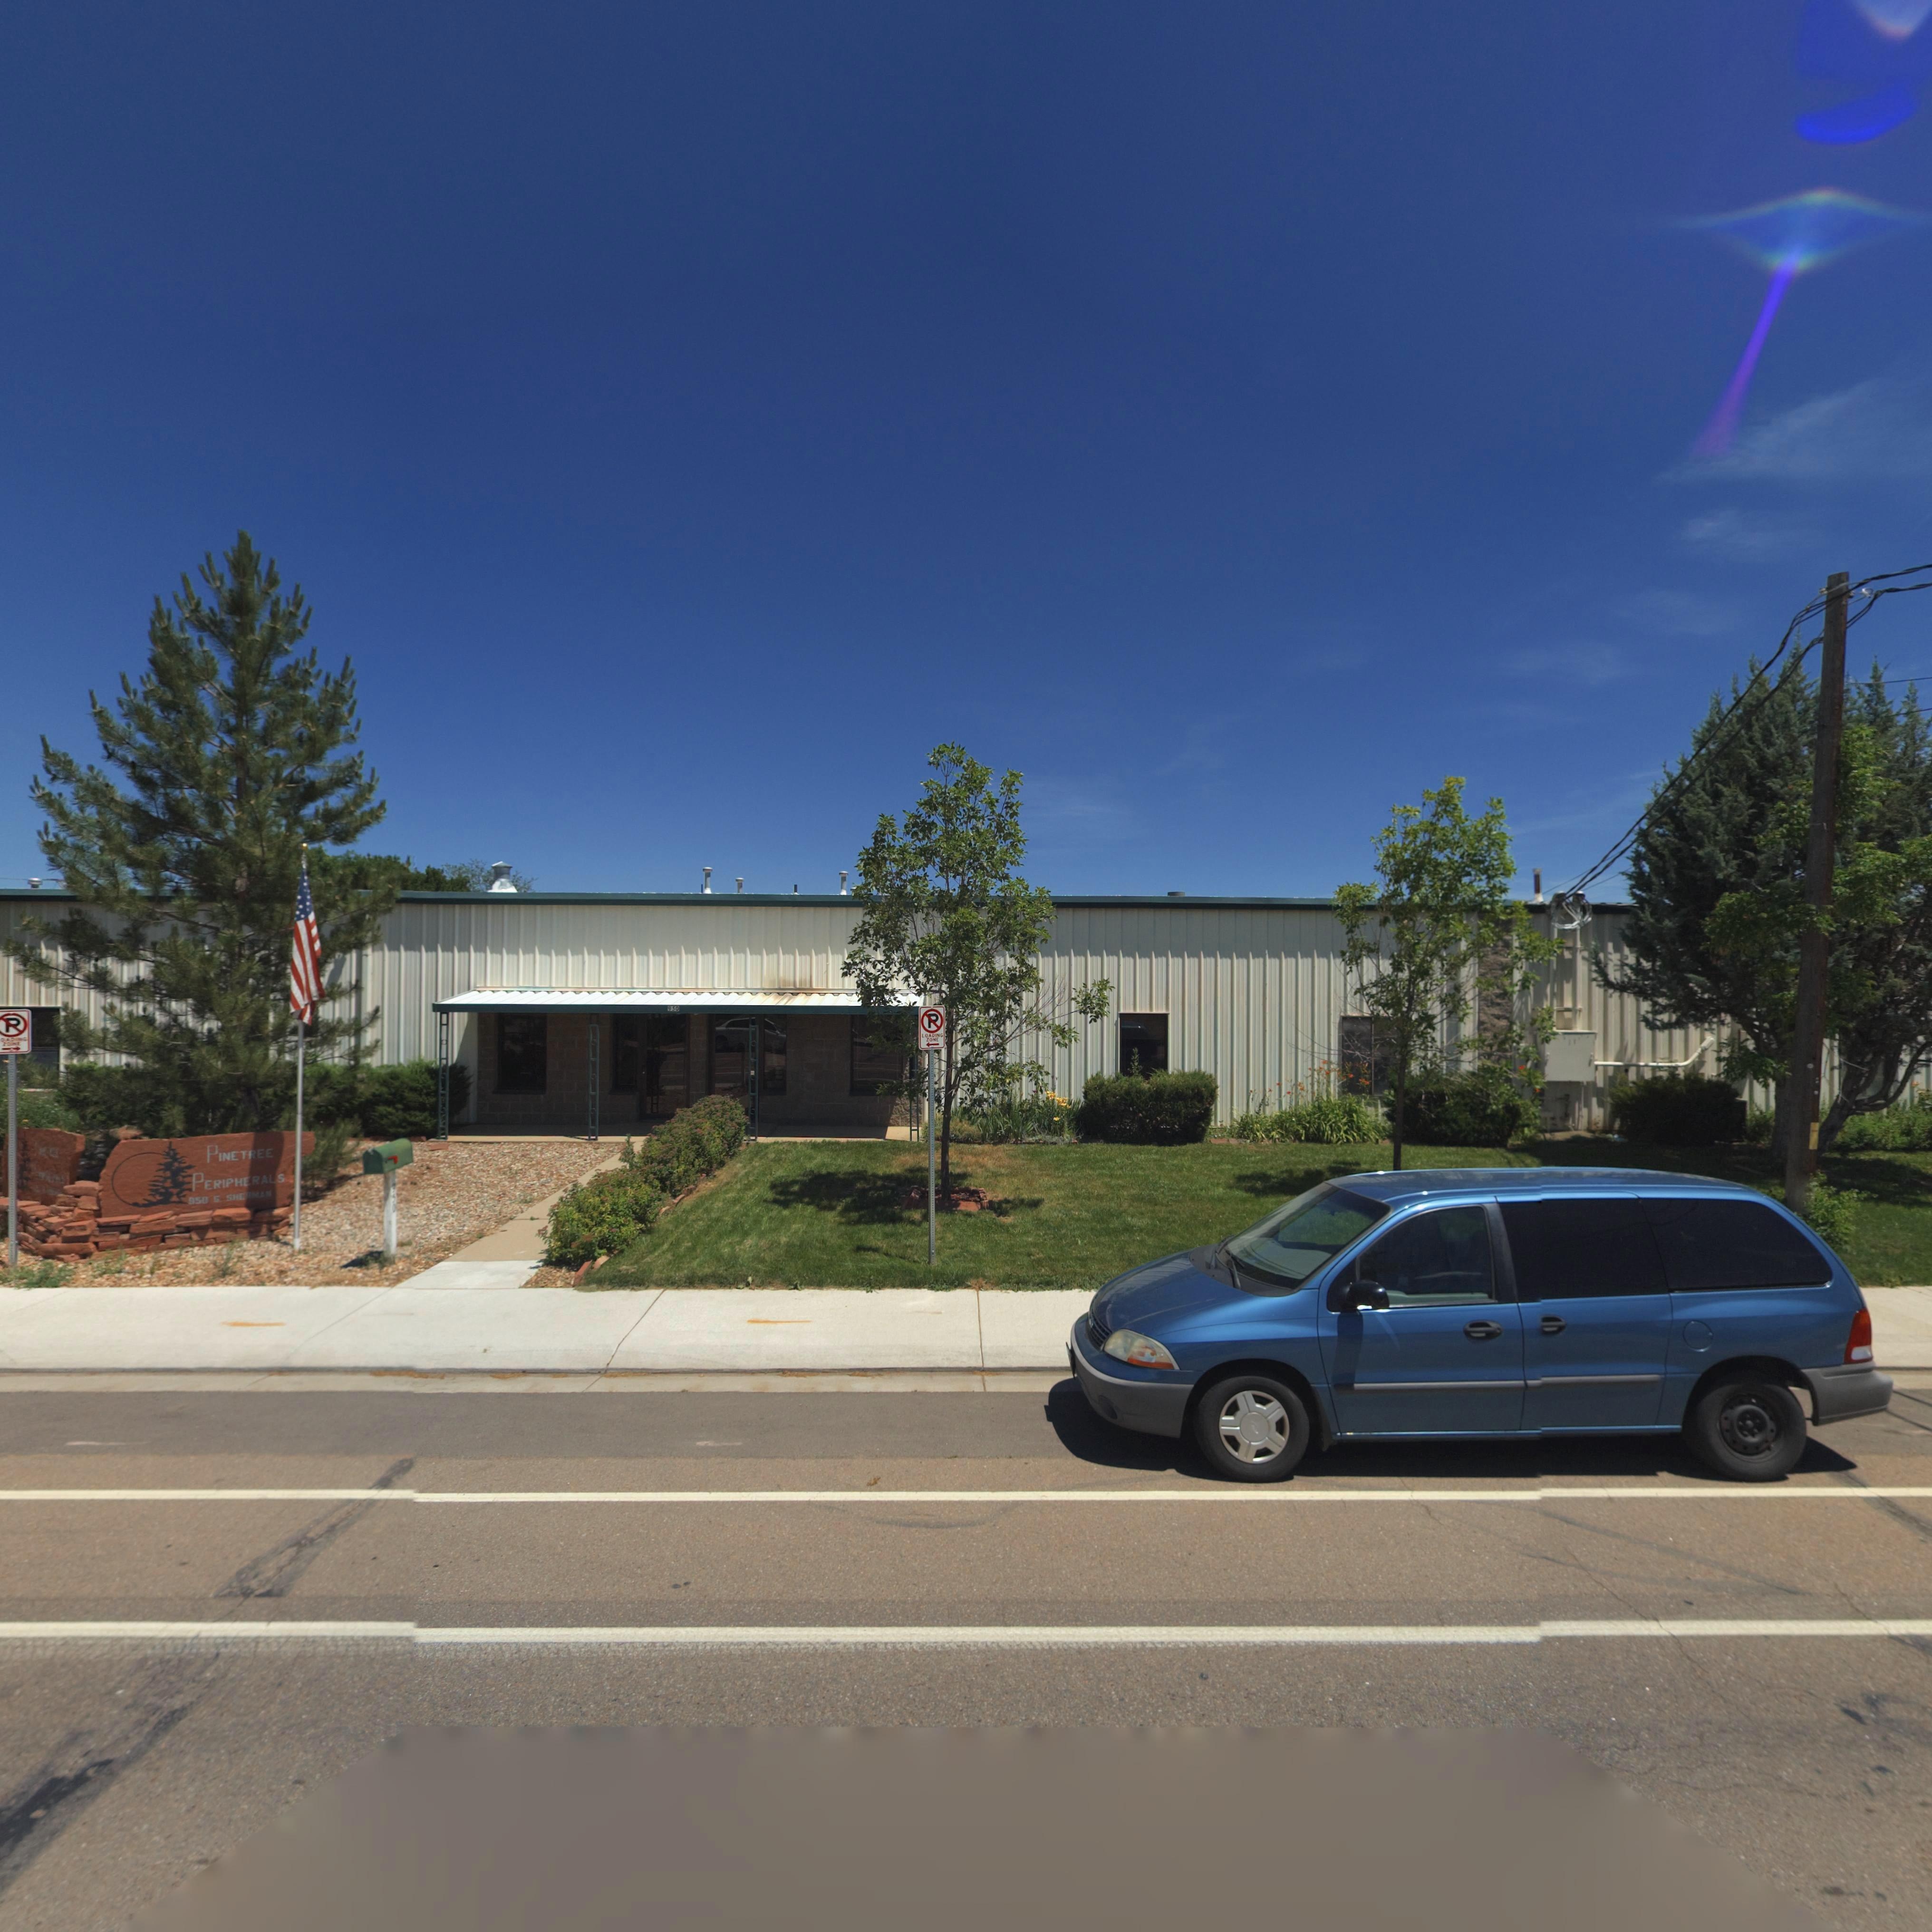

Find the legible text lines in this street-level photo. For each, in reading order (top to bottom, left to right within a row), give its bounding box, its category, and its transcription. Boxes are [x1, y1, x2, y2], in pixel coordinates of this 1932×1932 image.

[668, 1006, 679, 1011] StreetNumber: 950
[206, 1143, 274, 1164] BusinessName: PINETREE
[191, 1171, 285, 1192] BusinessName: PERIPHERALS
[189, 1196, 209, 1205] StreetNumber: 950
[213, 1189, 272, 1203] StreetName: S SHERMAN
[390, 1180, 396, 1214] StreetNumber: *50